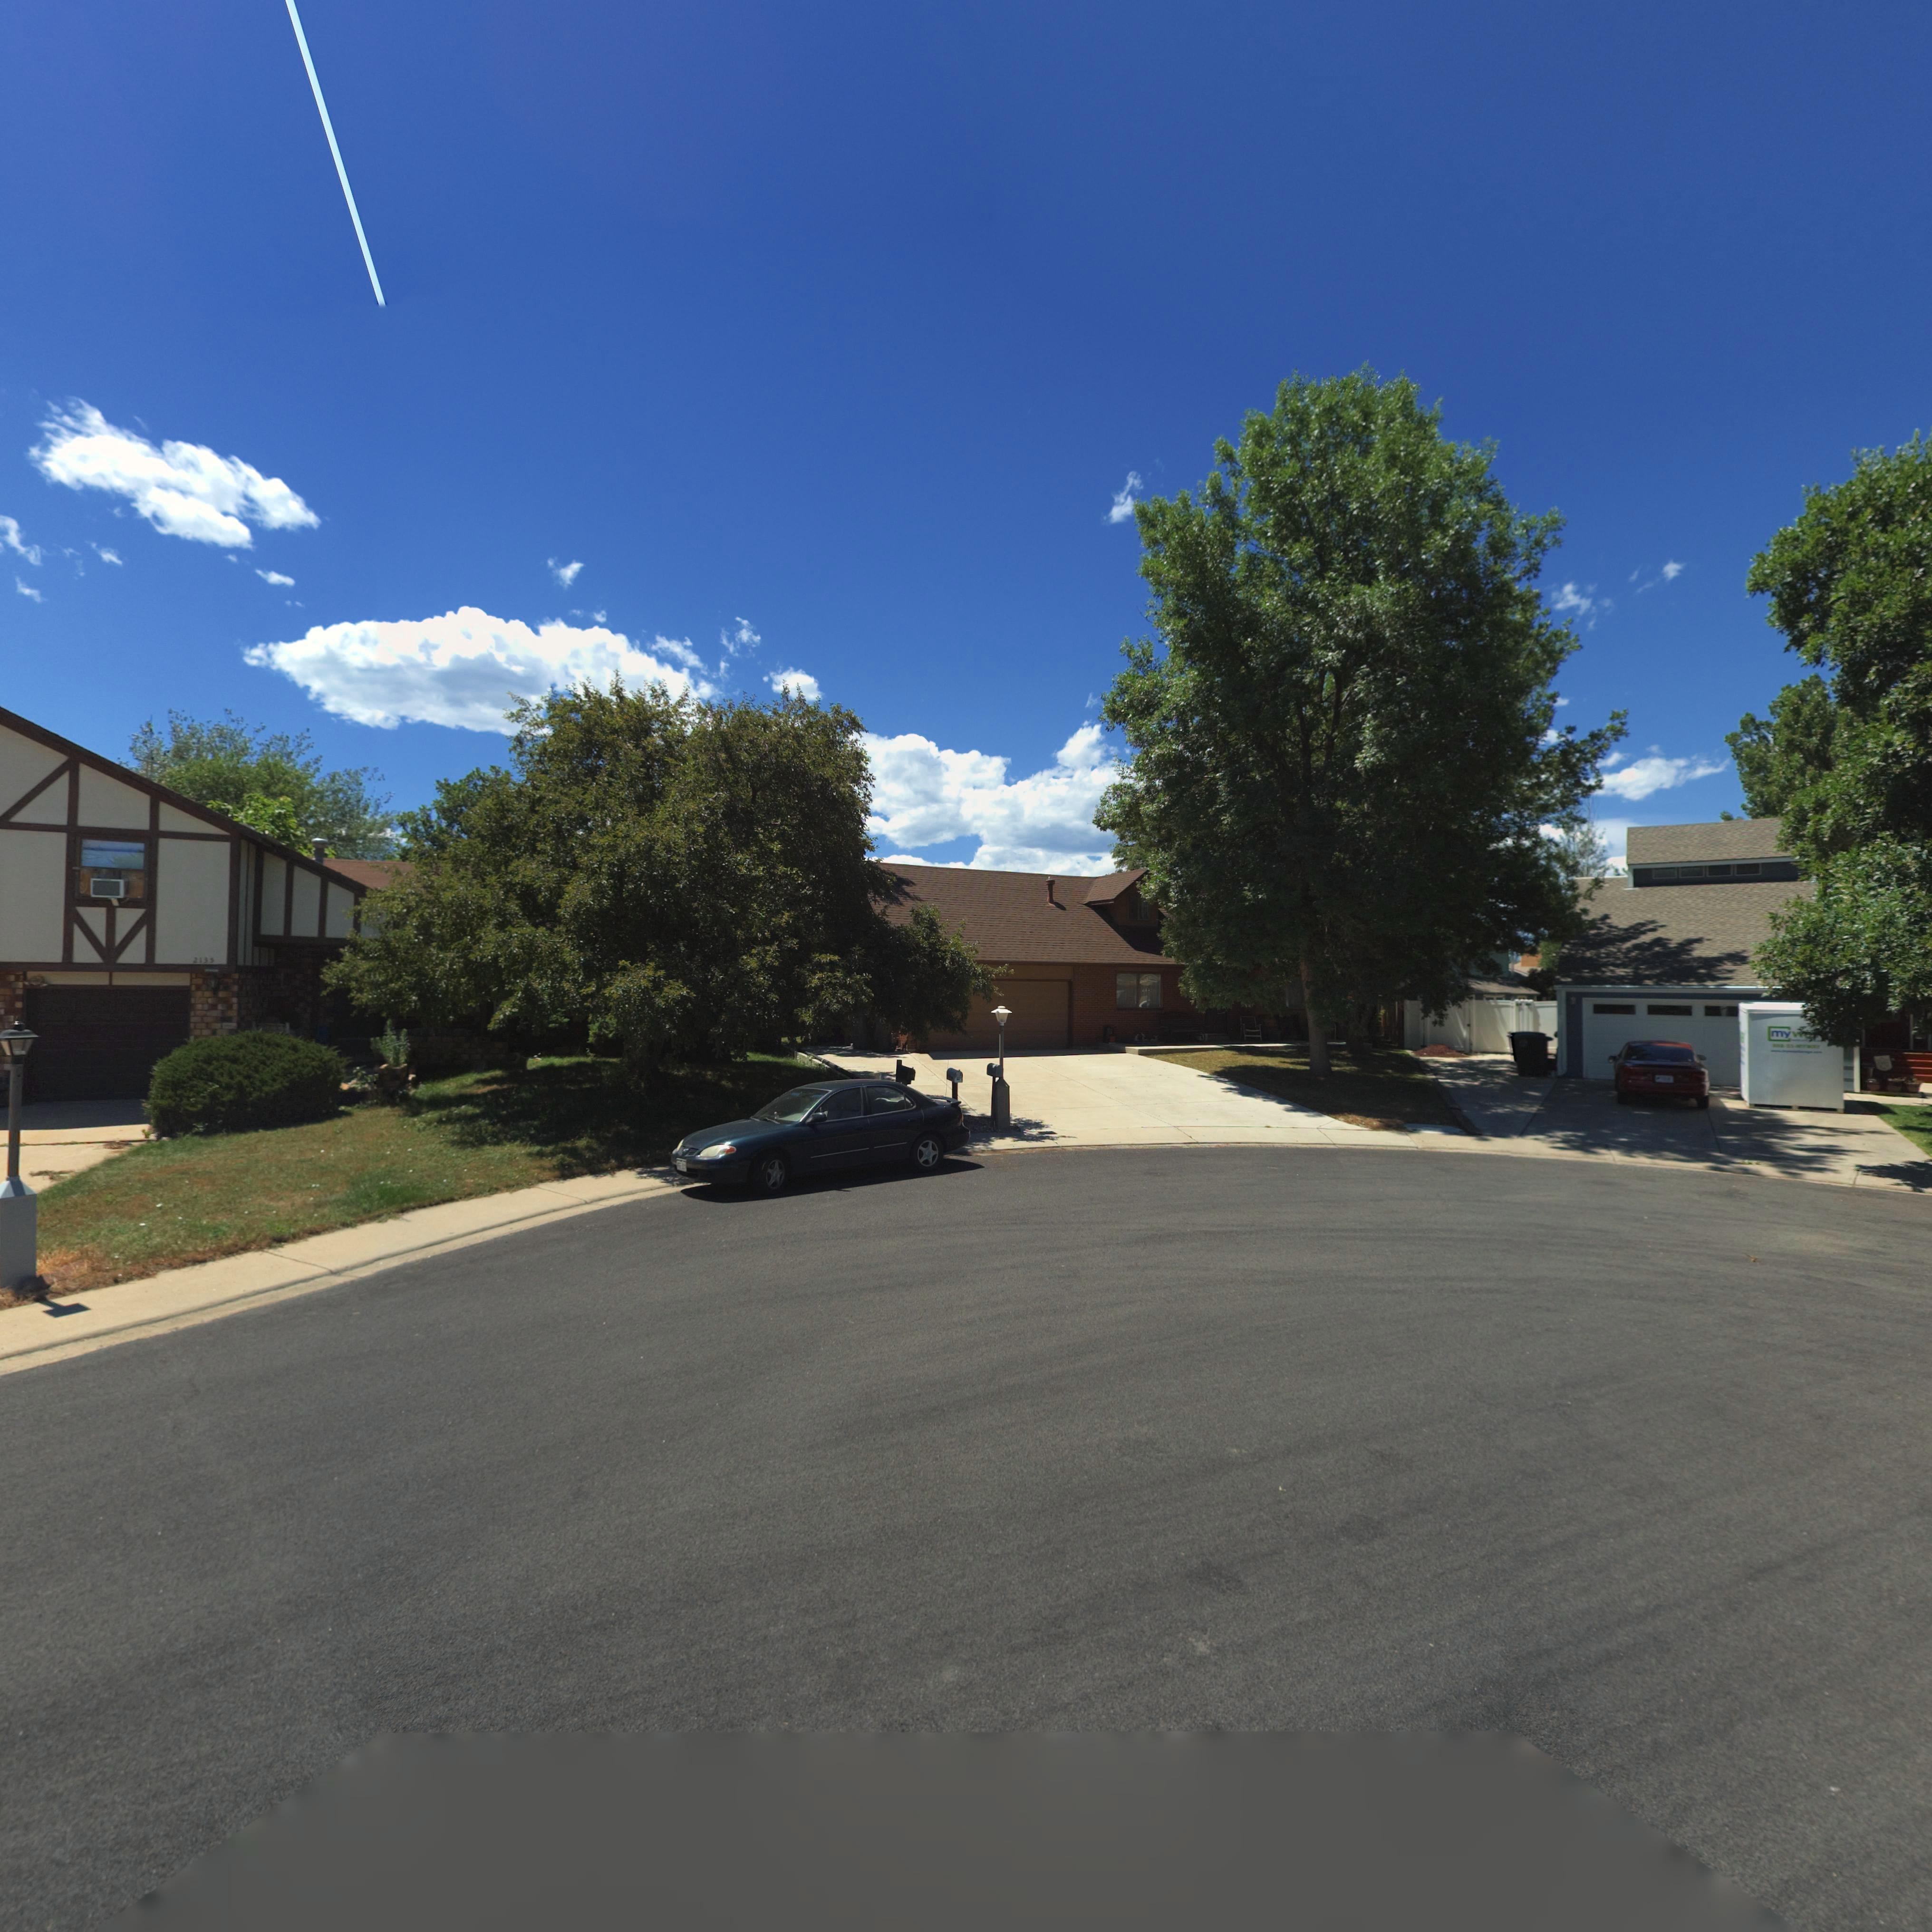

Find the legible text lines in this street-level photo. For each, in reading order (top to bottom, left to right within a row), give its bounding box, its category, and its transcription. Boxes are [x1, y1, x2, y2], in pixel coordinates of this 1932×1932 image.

[192, 956, 214, 964] StreetNumber: 2135